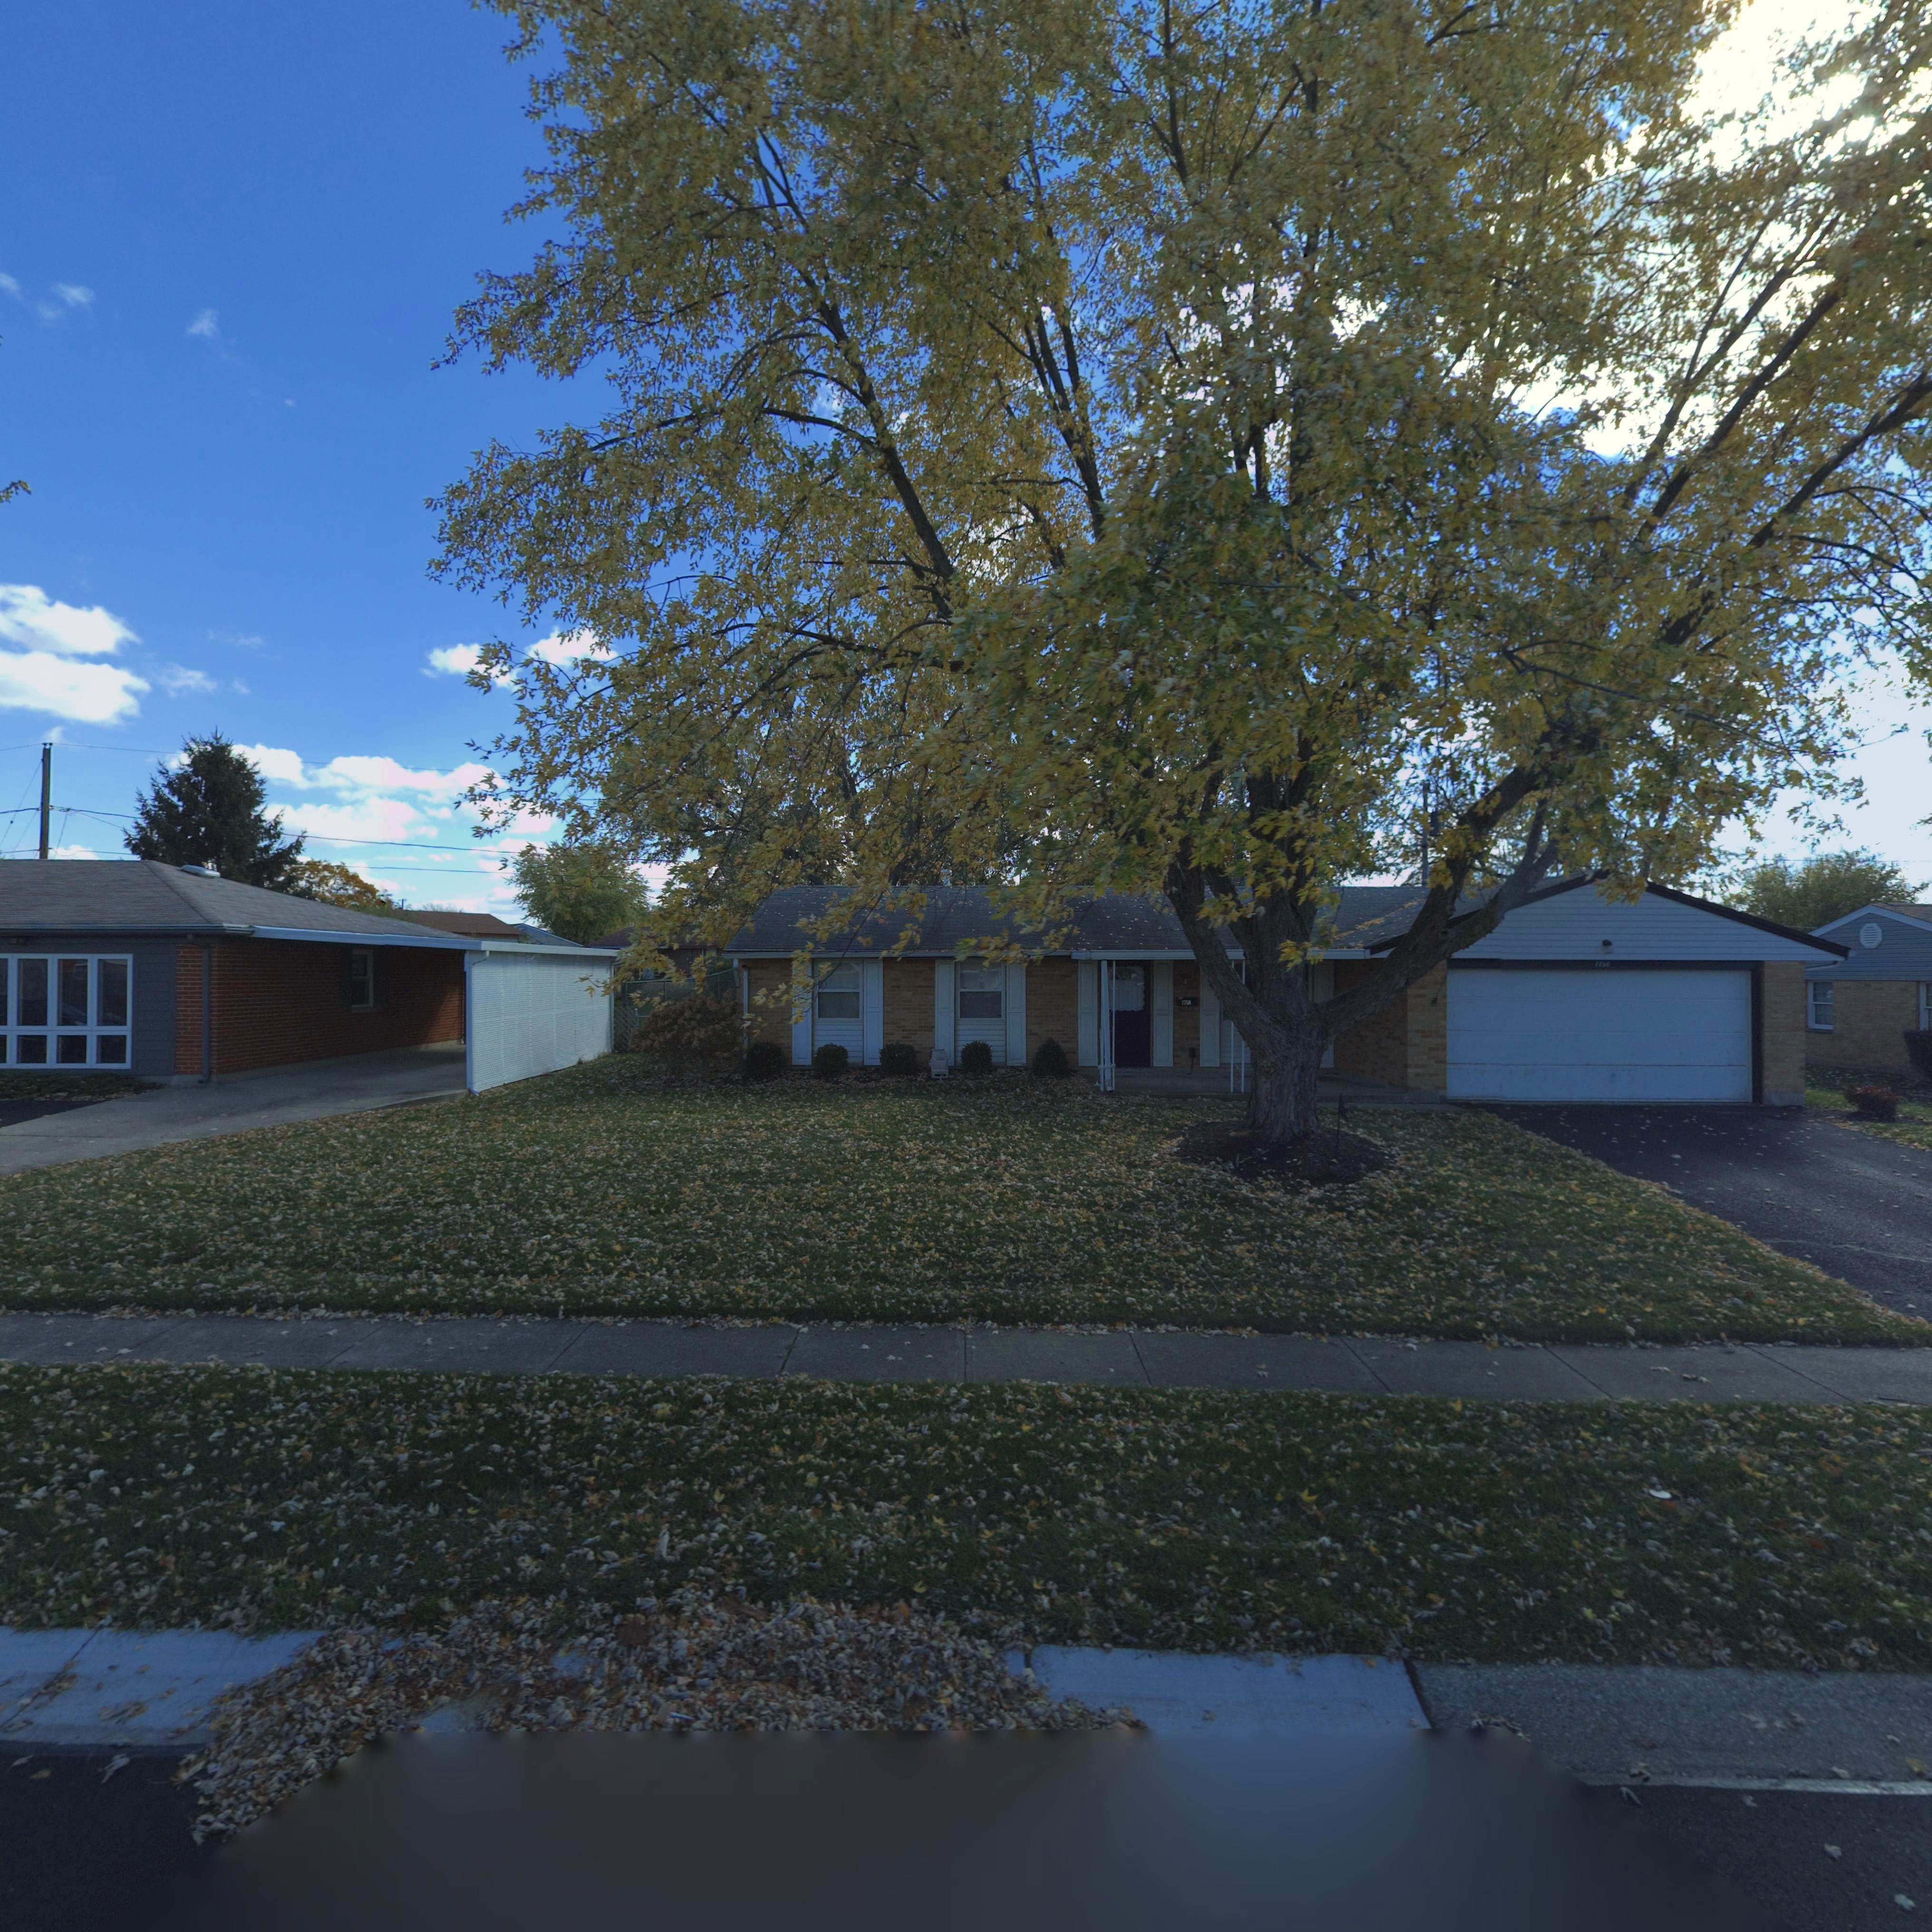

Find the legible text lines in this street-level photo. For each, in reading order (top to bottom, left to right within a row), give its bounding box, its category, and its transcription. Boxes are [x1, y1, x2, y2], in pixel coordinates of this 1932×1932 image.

[1594, 959, 1612, 968] StreetNumber: 7758
[1180, 999, 1191, 1005] StreetNumber: 7758